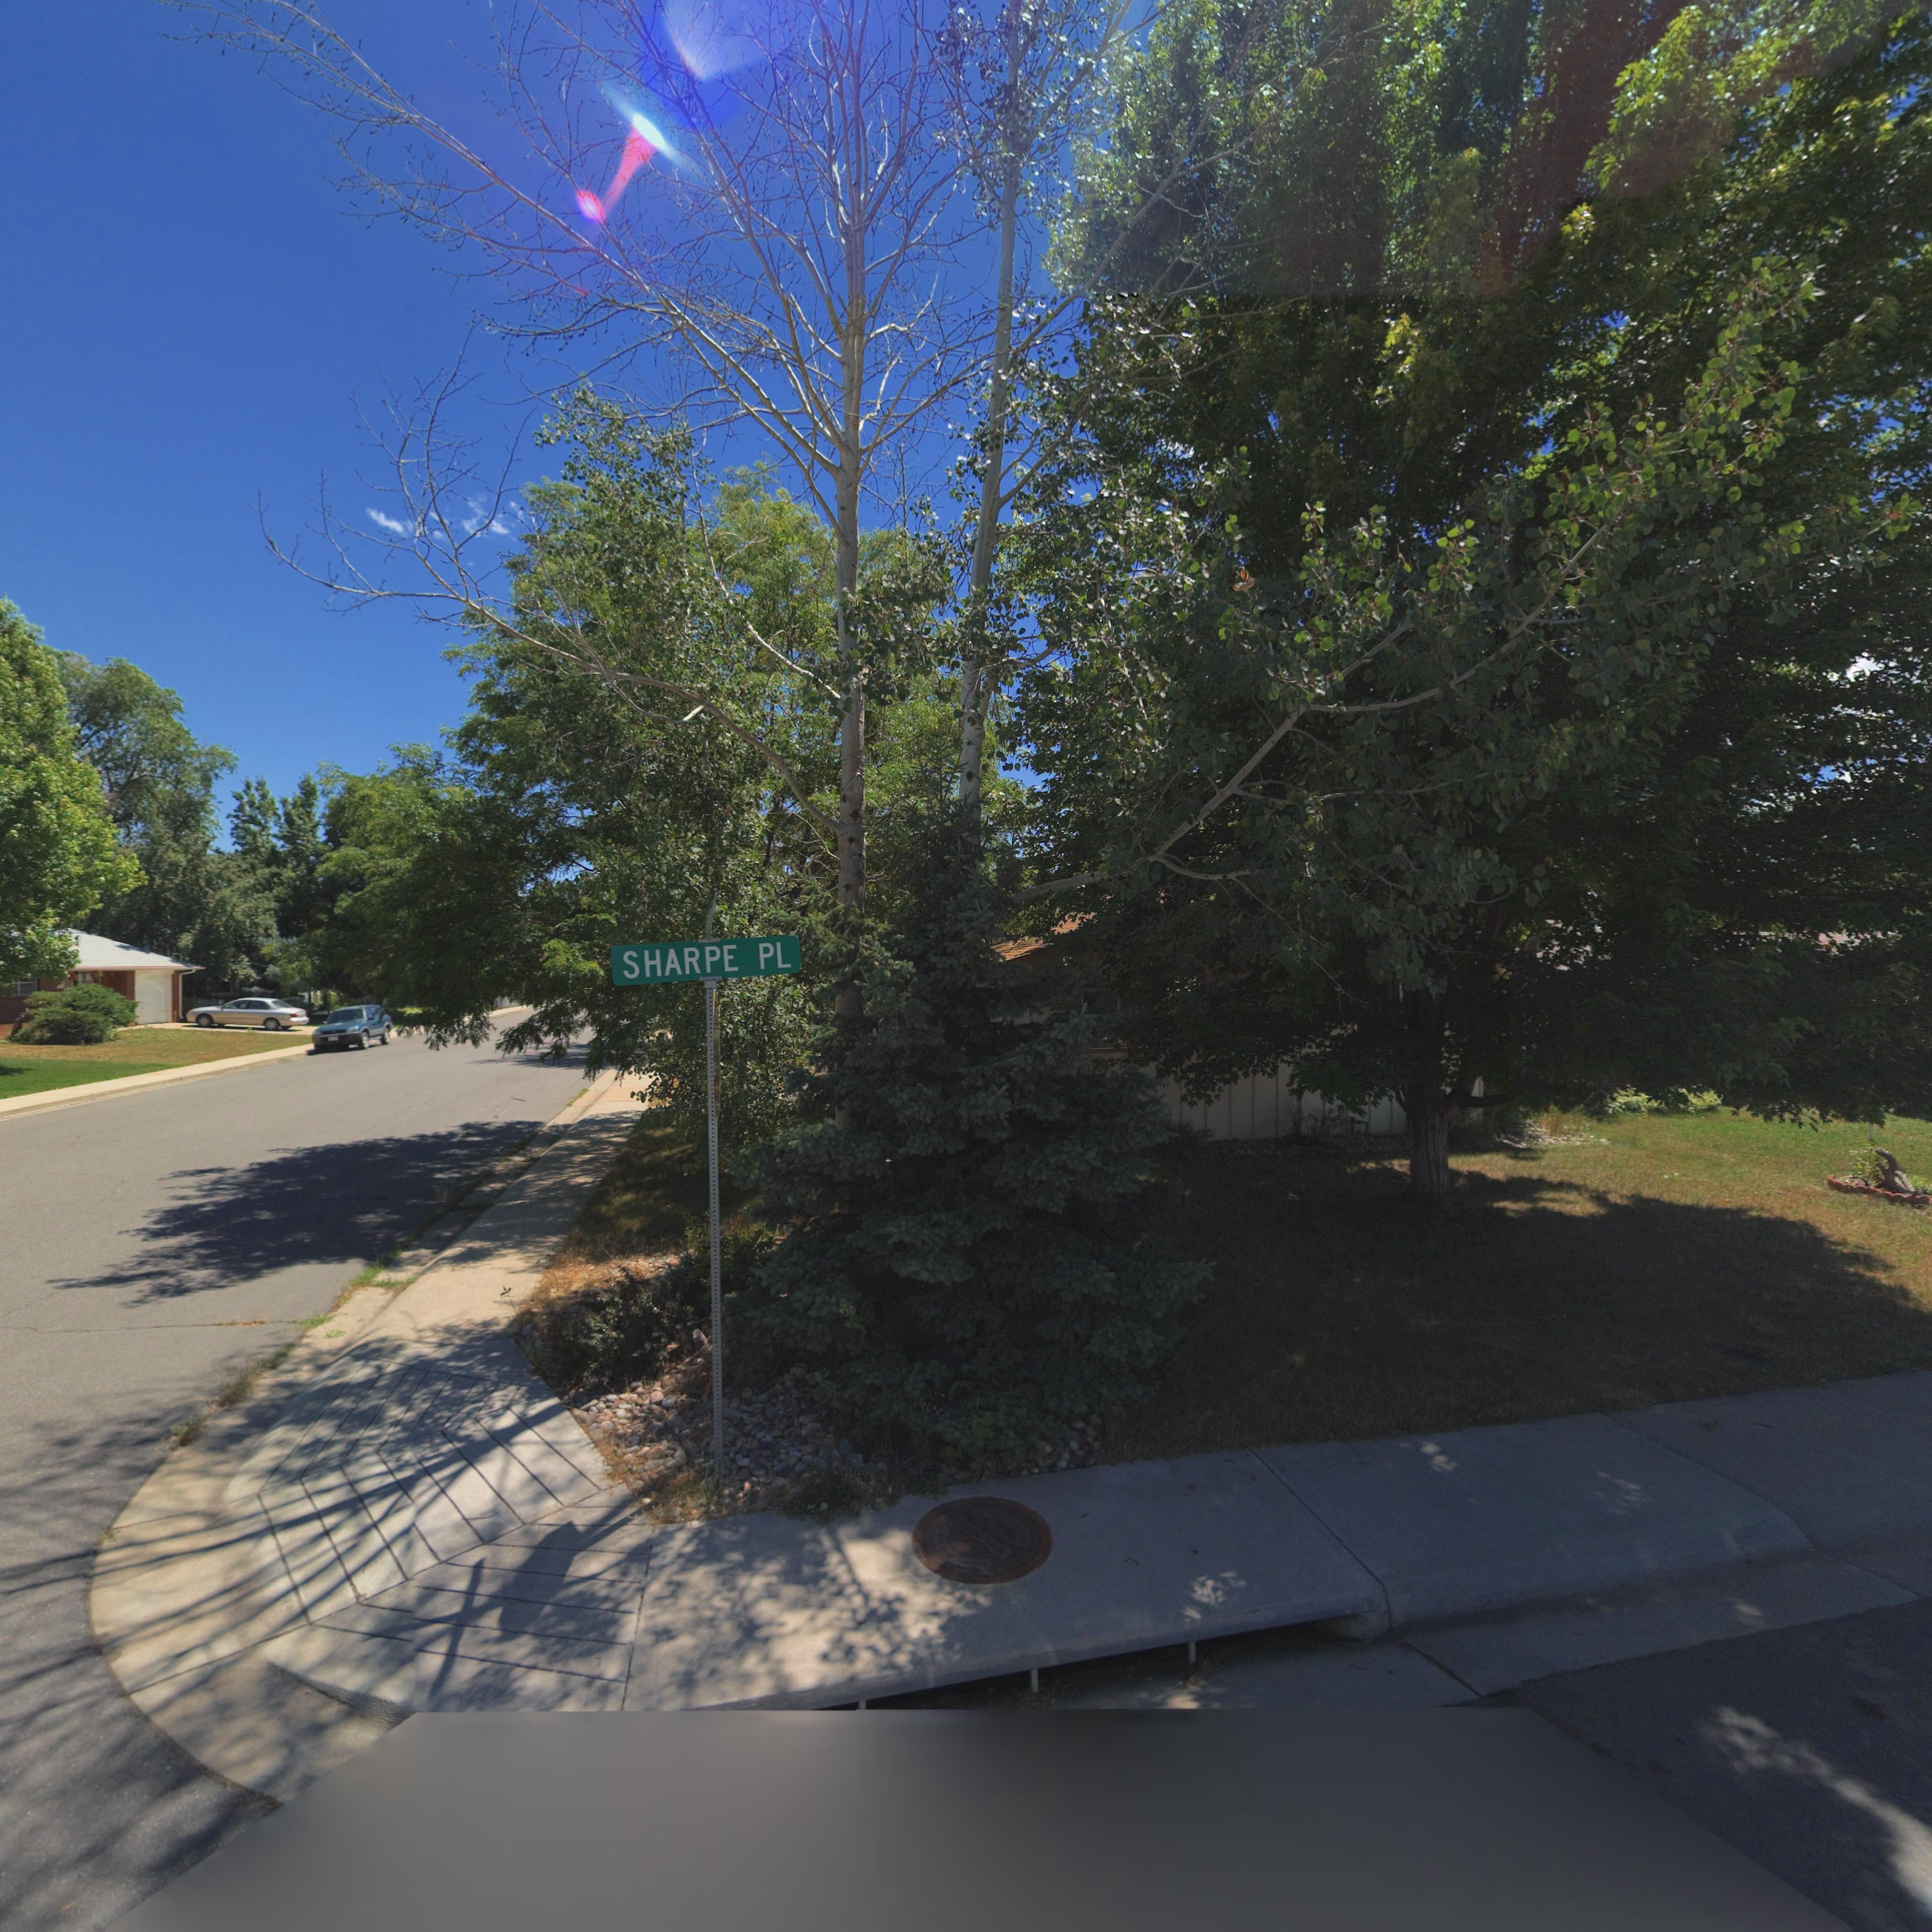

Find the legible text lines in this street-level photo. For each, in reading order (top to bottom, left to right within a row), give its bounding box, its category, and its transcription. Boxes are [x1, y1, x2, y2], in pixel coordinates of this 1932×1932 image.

[622, 942, 792, 979] StreetName: SHARPE PL